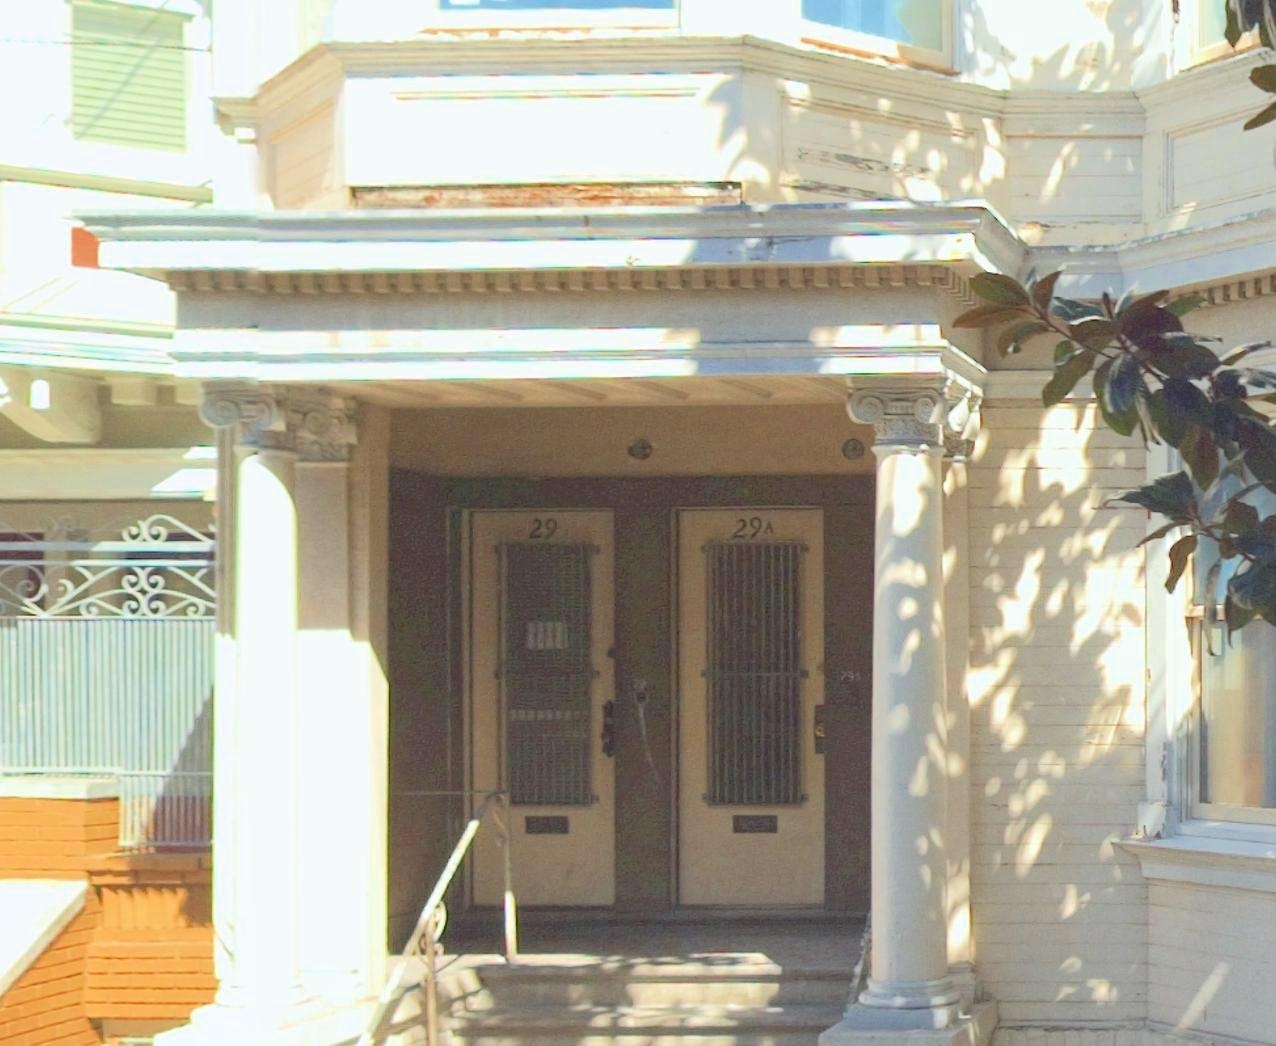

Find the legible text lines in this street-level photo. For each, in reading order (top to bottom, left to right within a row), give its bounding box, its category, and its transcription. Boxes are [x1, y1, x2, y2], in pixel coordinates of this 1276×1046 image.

[527, 514, 565, 544] StreetNumber: 29
[727, 513, 778, 544] StreetNumber: 29A
[838, 670, 863, 683] None: 791